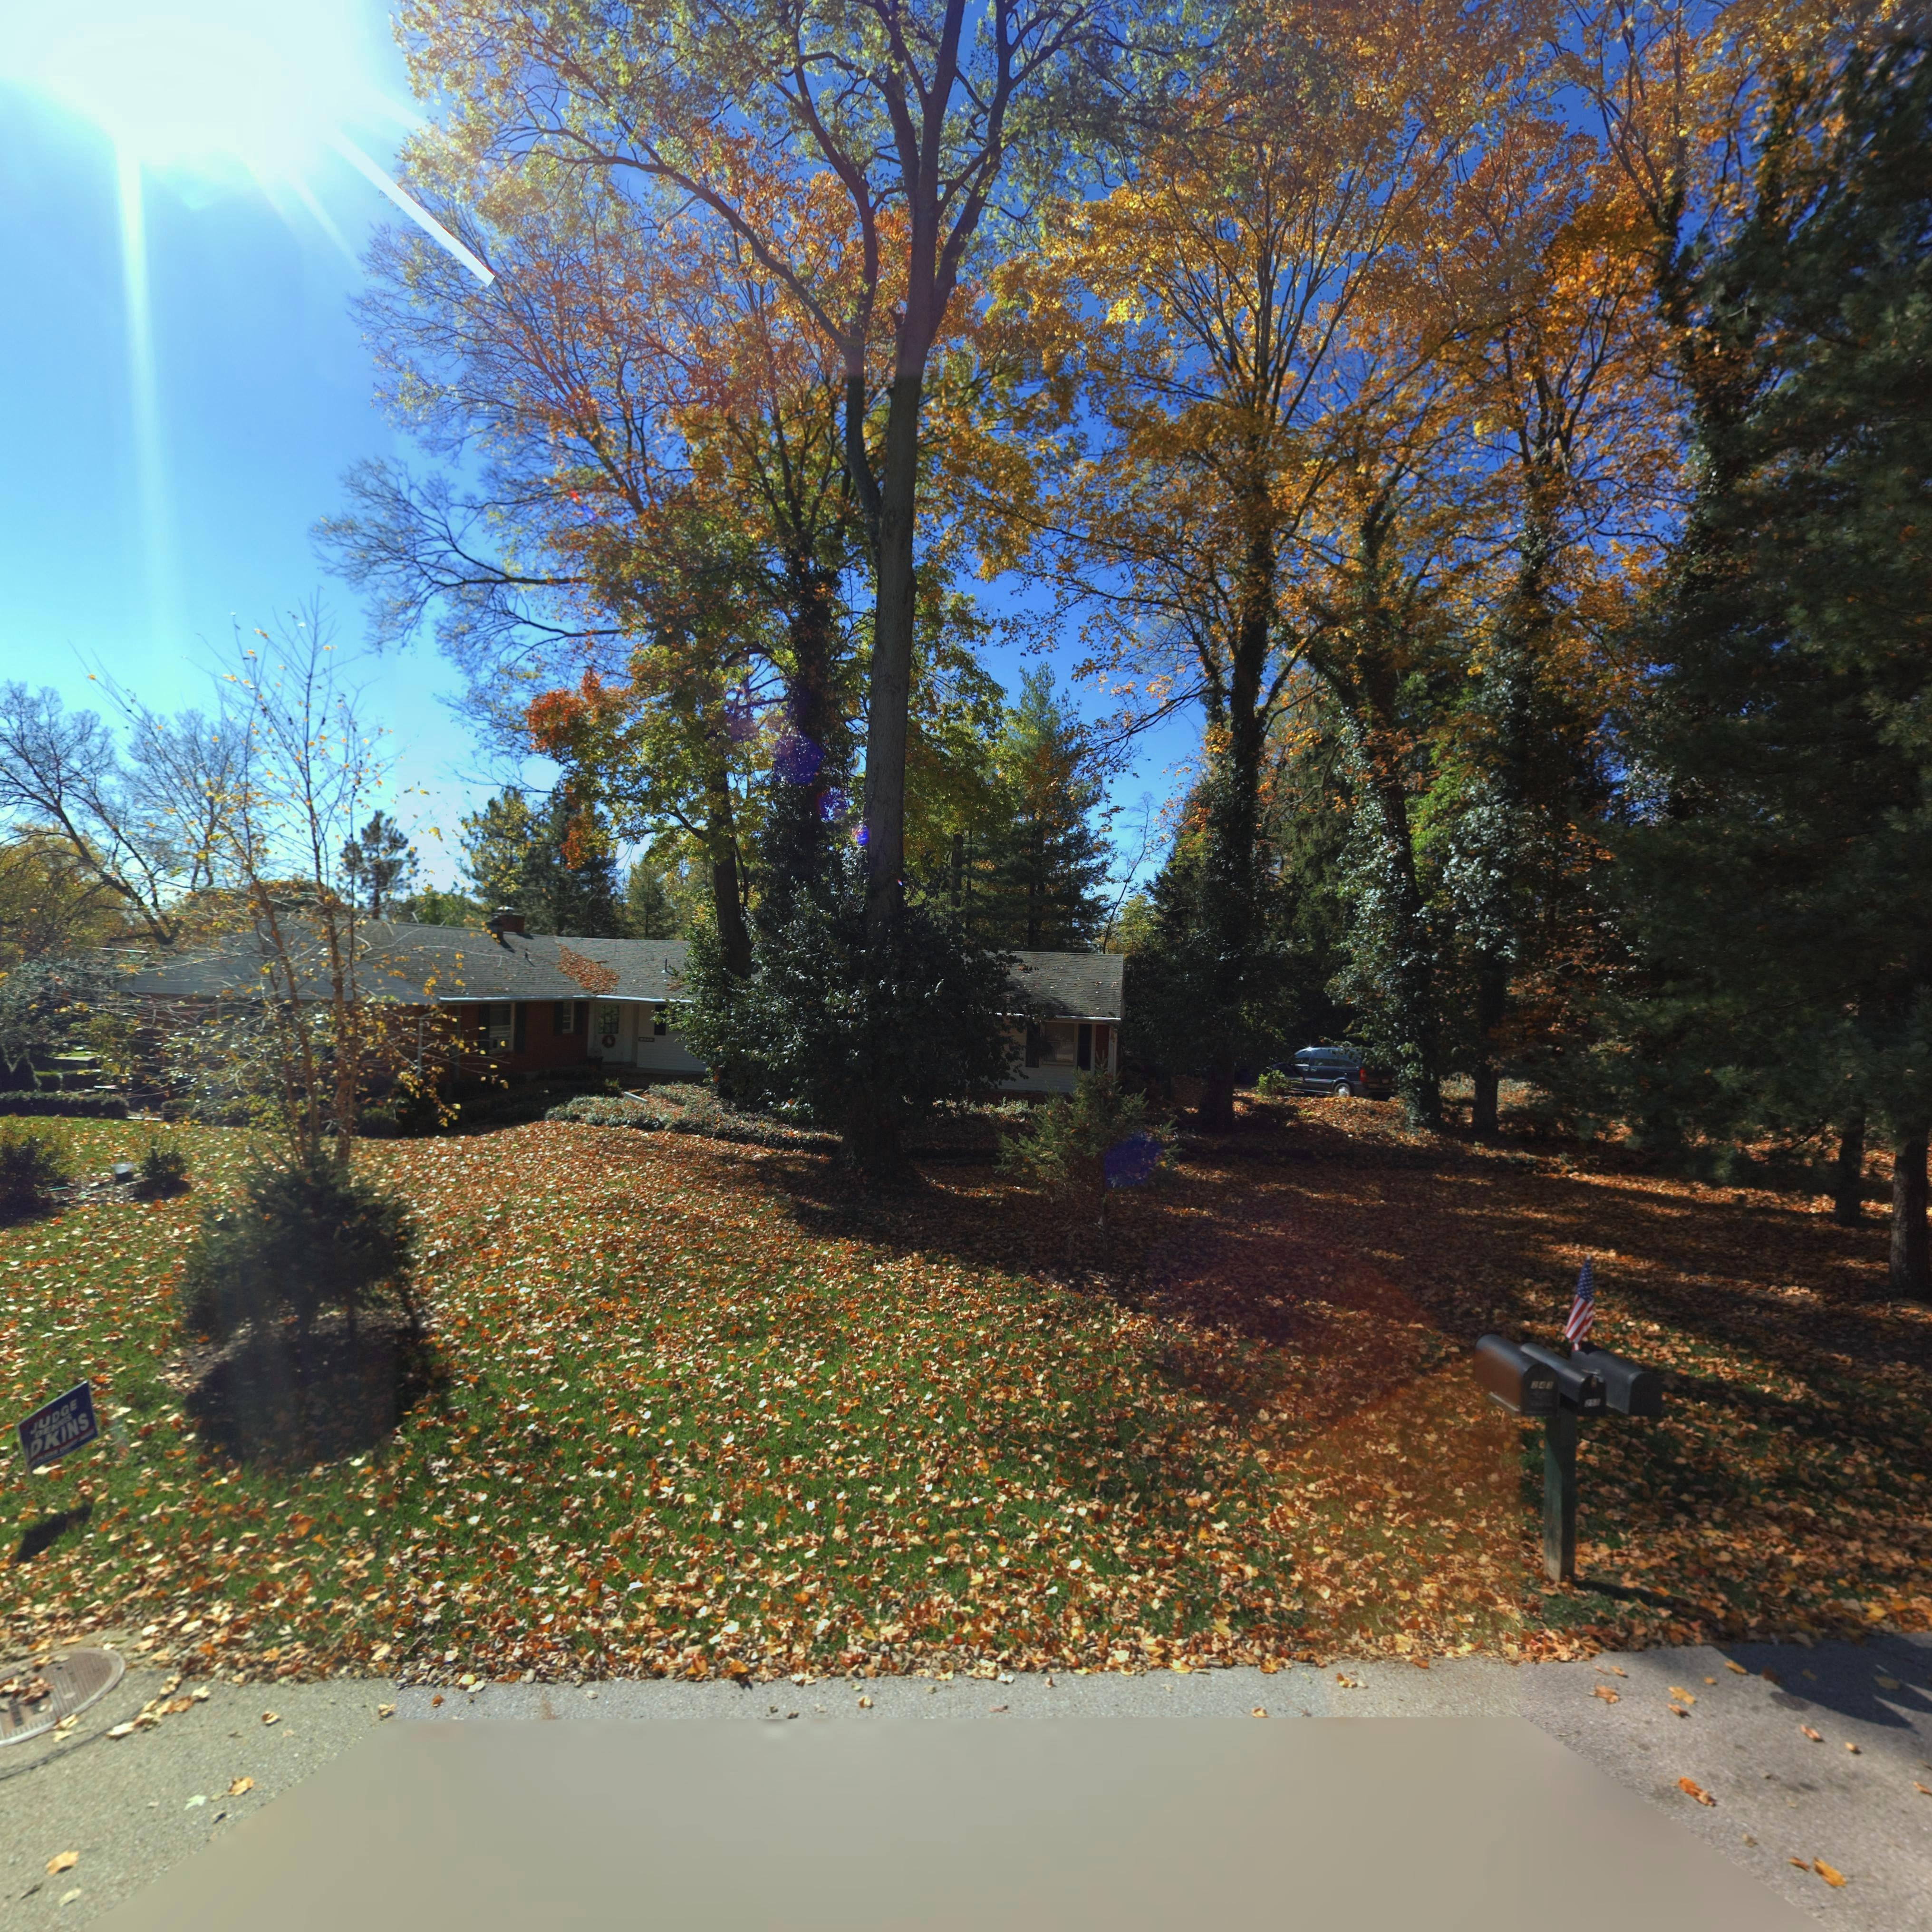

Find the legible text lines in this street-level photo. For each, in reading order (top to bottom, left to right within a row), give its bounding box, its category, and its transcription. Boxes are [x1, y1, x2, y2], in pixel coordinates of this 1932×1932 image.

[1530, 1381, 1554, 1390] StreetNumber: *4*
[1584, 1398, 1601, 1409] StreetNumber: *5*